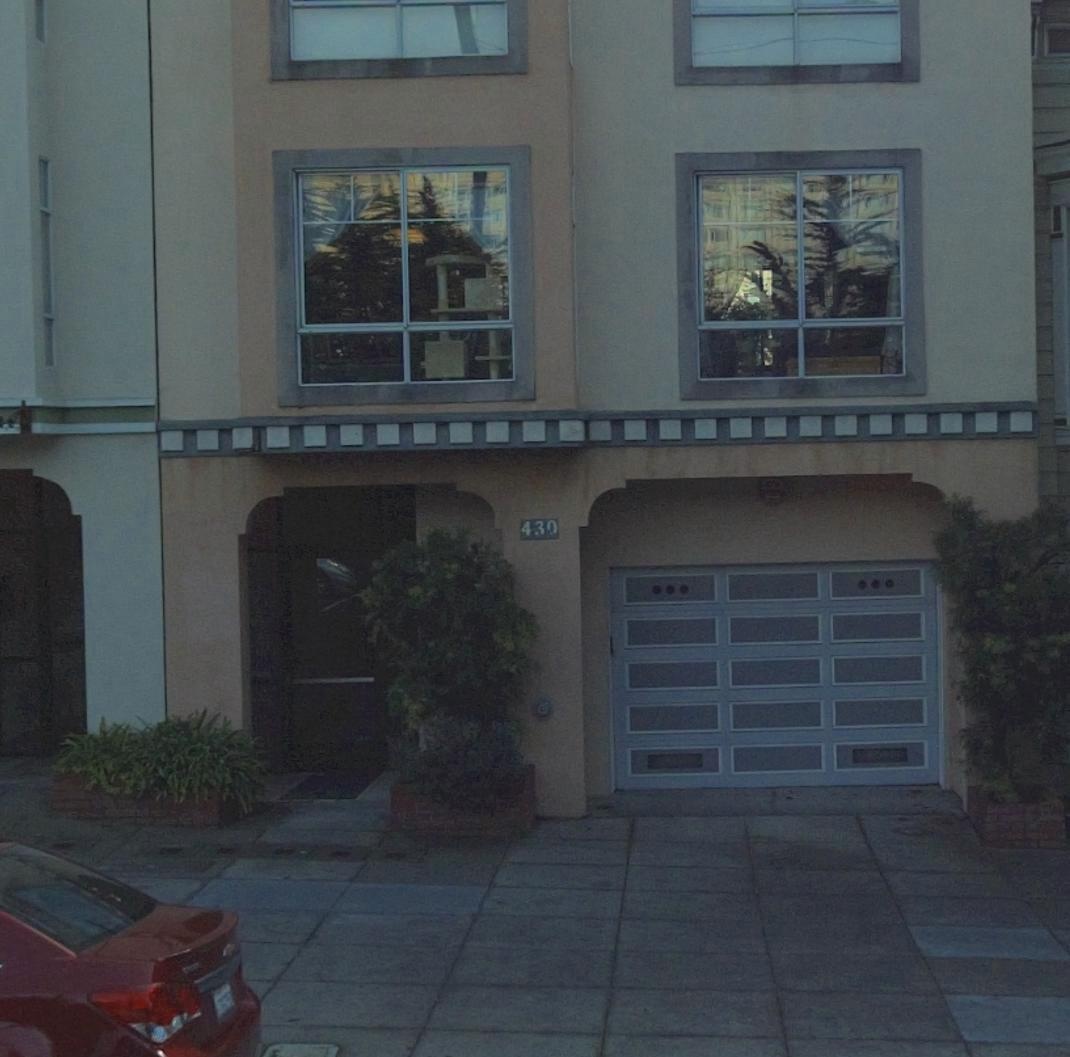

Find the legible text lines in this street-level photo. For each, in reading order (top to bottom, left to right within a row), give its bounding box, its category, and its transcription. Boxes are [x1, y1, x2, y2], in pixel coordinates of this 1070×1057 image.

[519, 518, 560, 539] StreetNumber: 43*